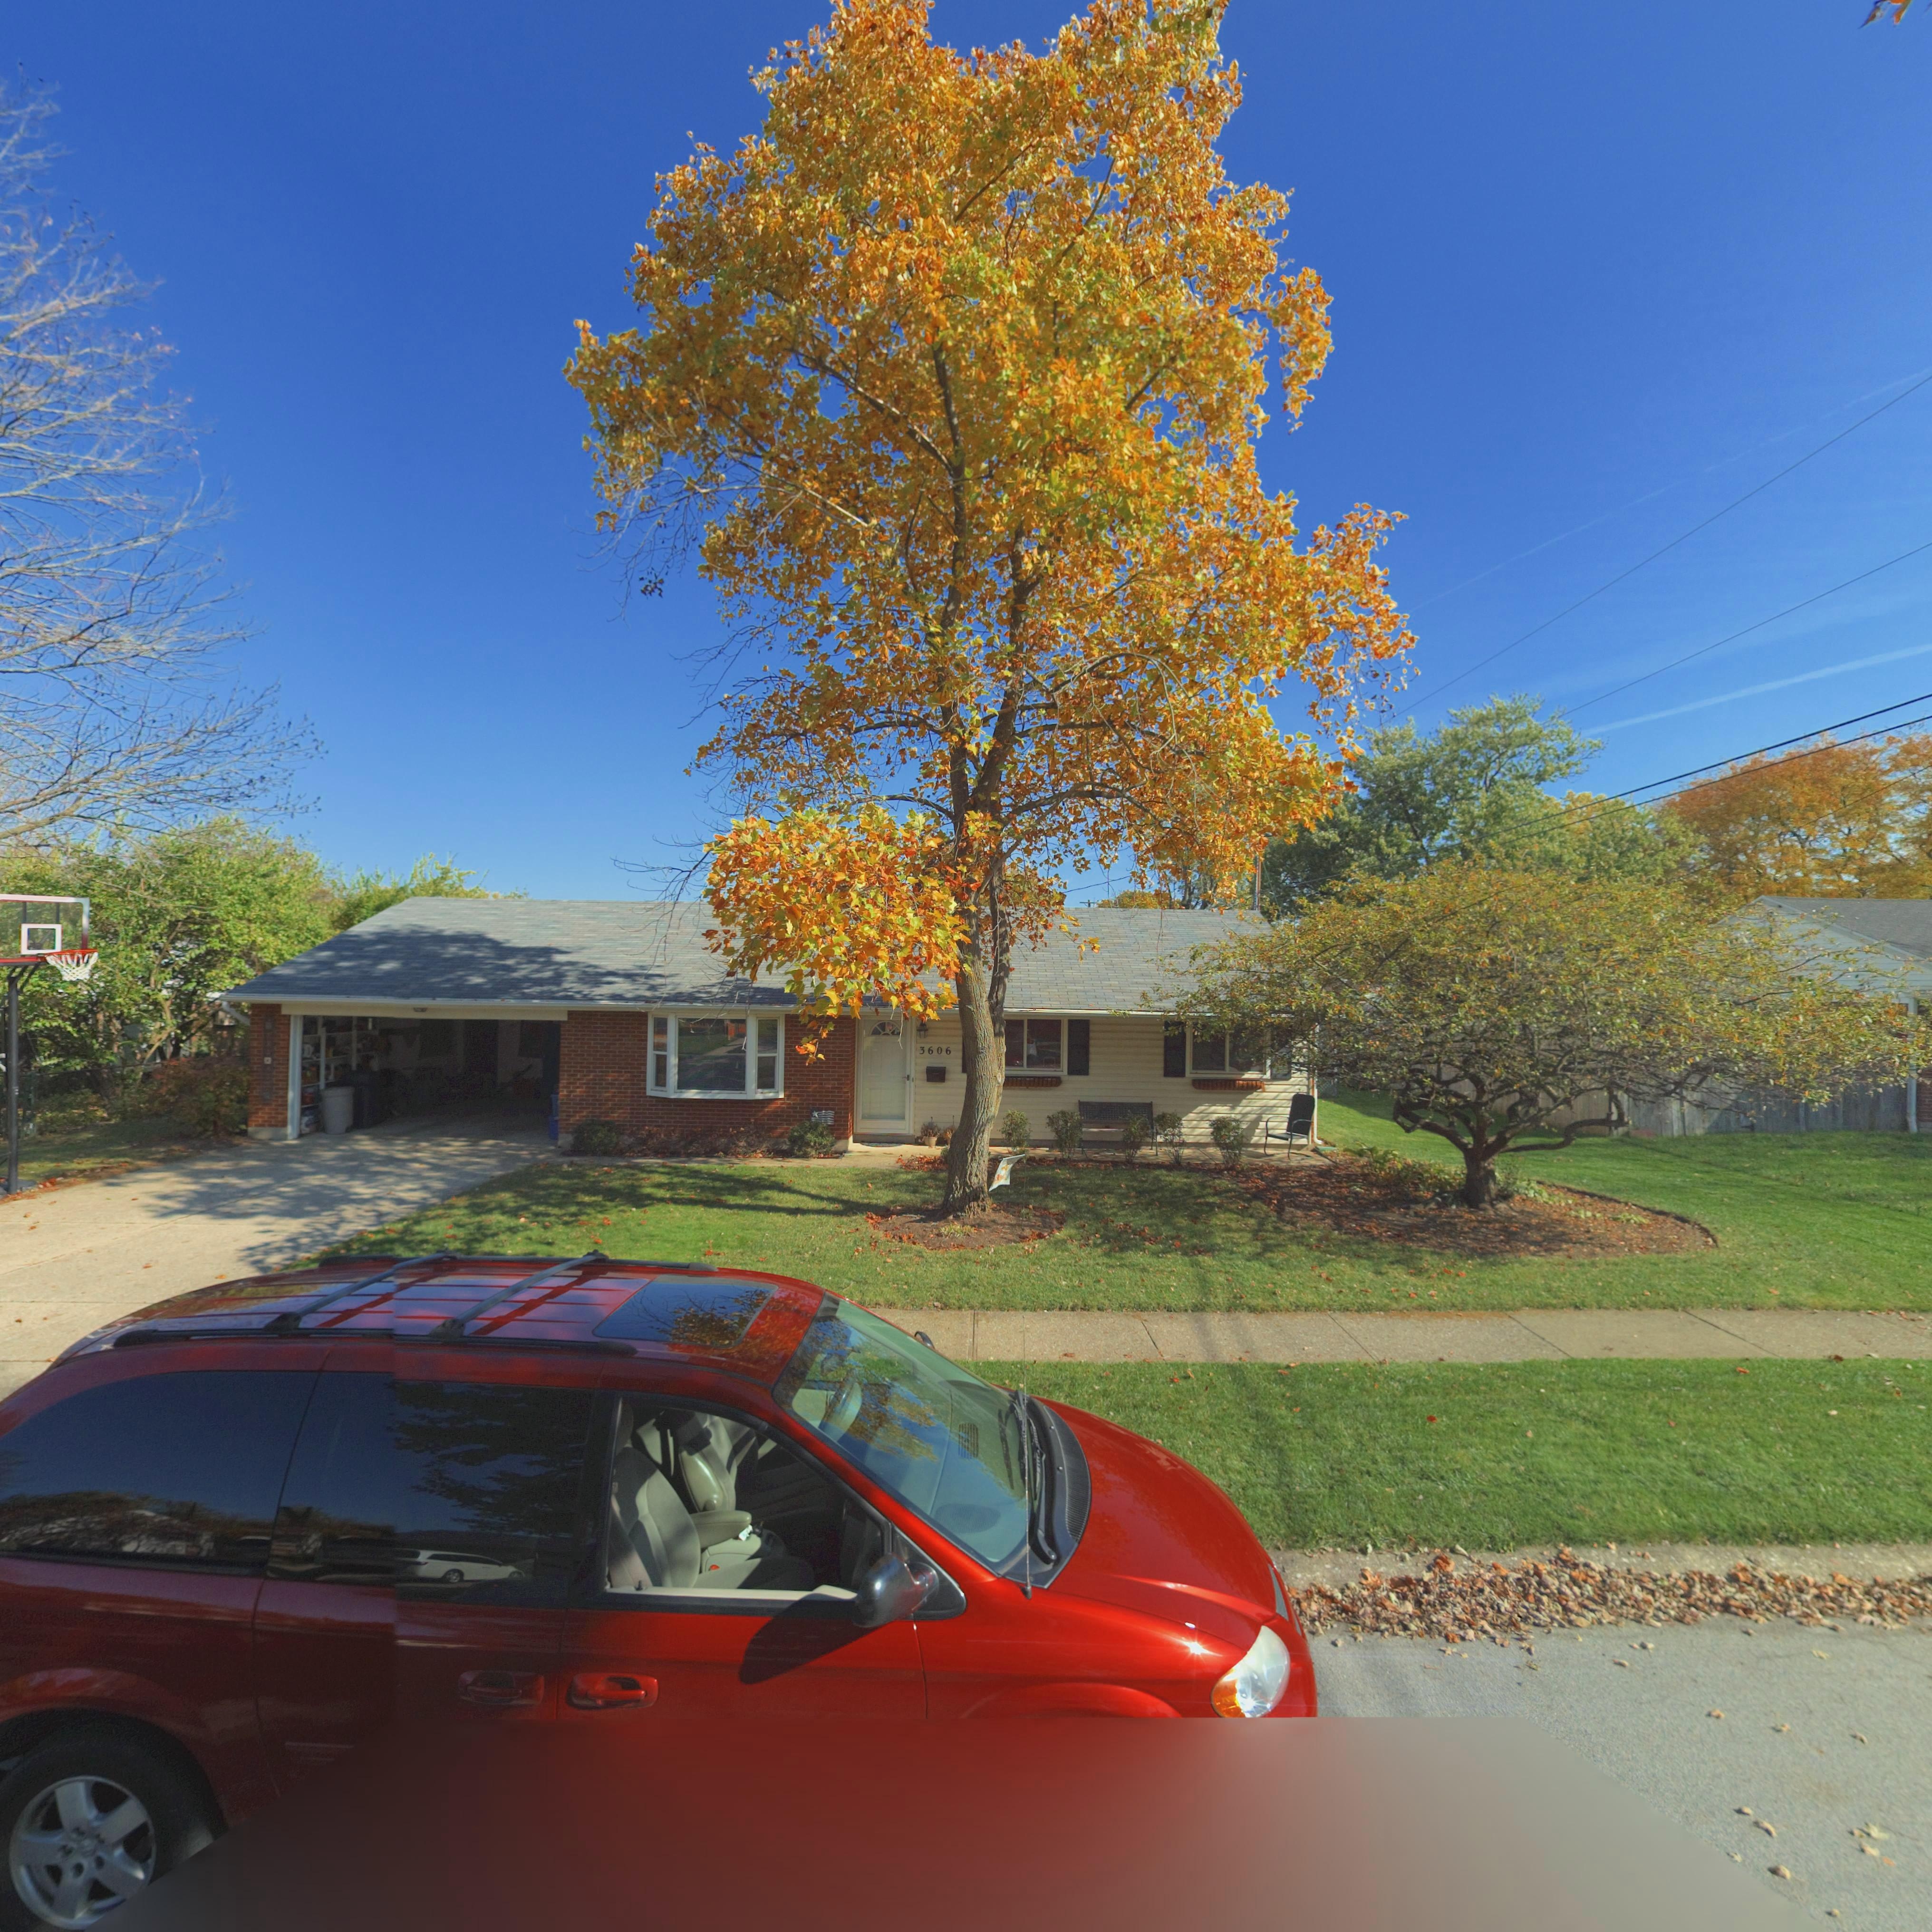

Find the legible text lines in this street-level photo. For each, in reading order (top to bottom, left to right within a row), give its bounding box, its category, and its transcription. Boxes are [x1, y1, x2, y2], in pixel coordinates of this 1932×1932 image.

[918, 1045, 951, 1055] StreetNumber: 3606